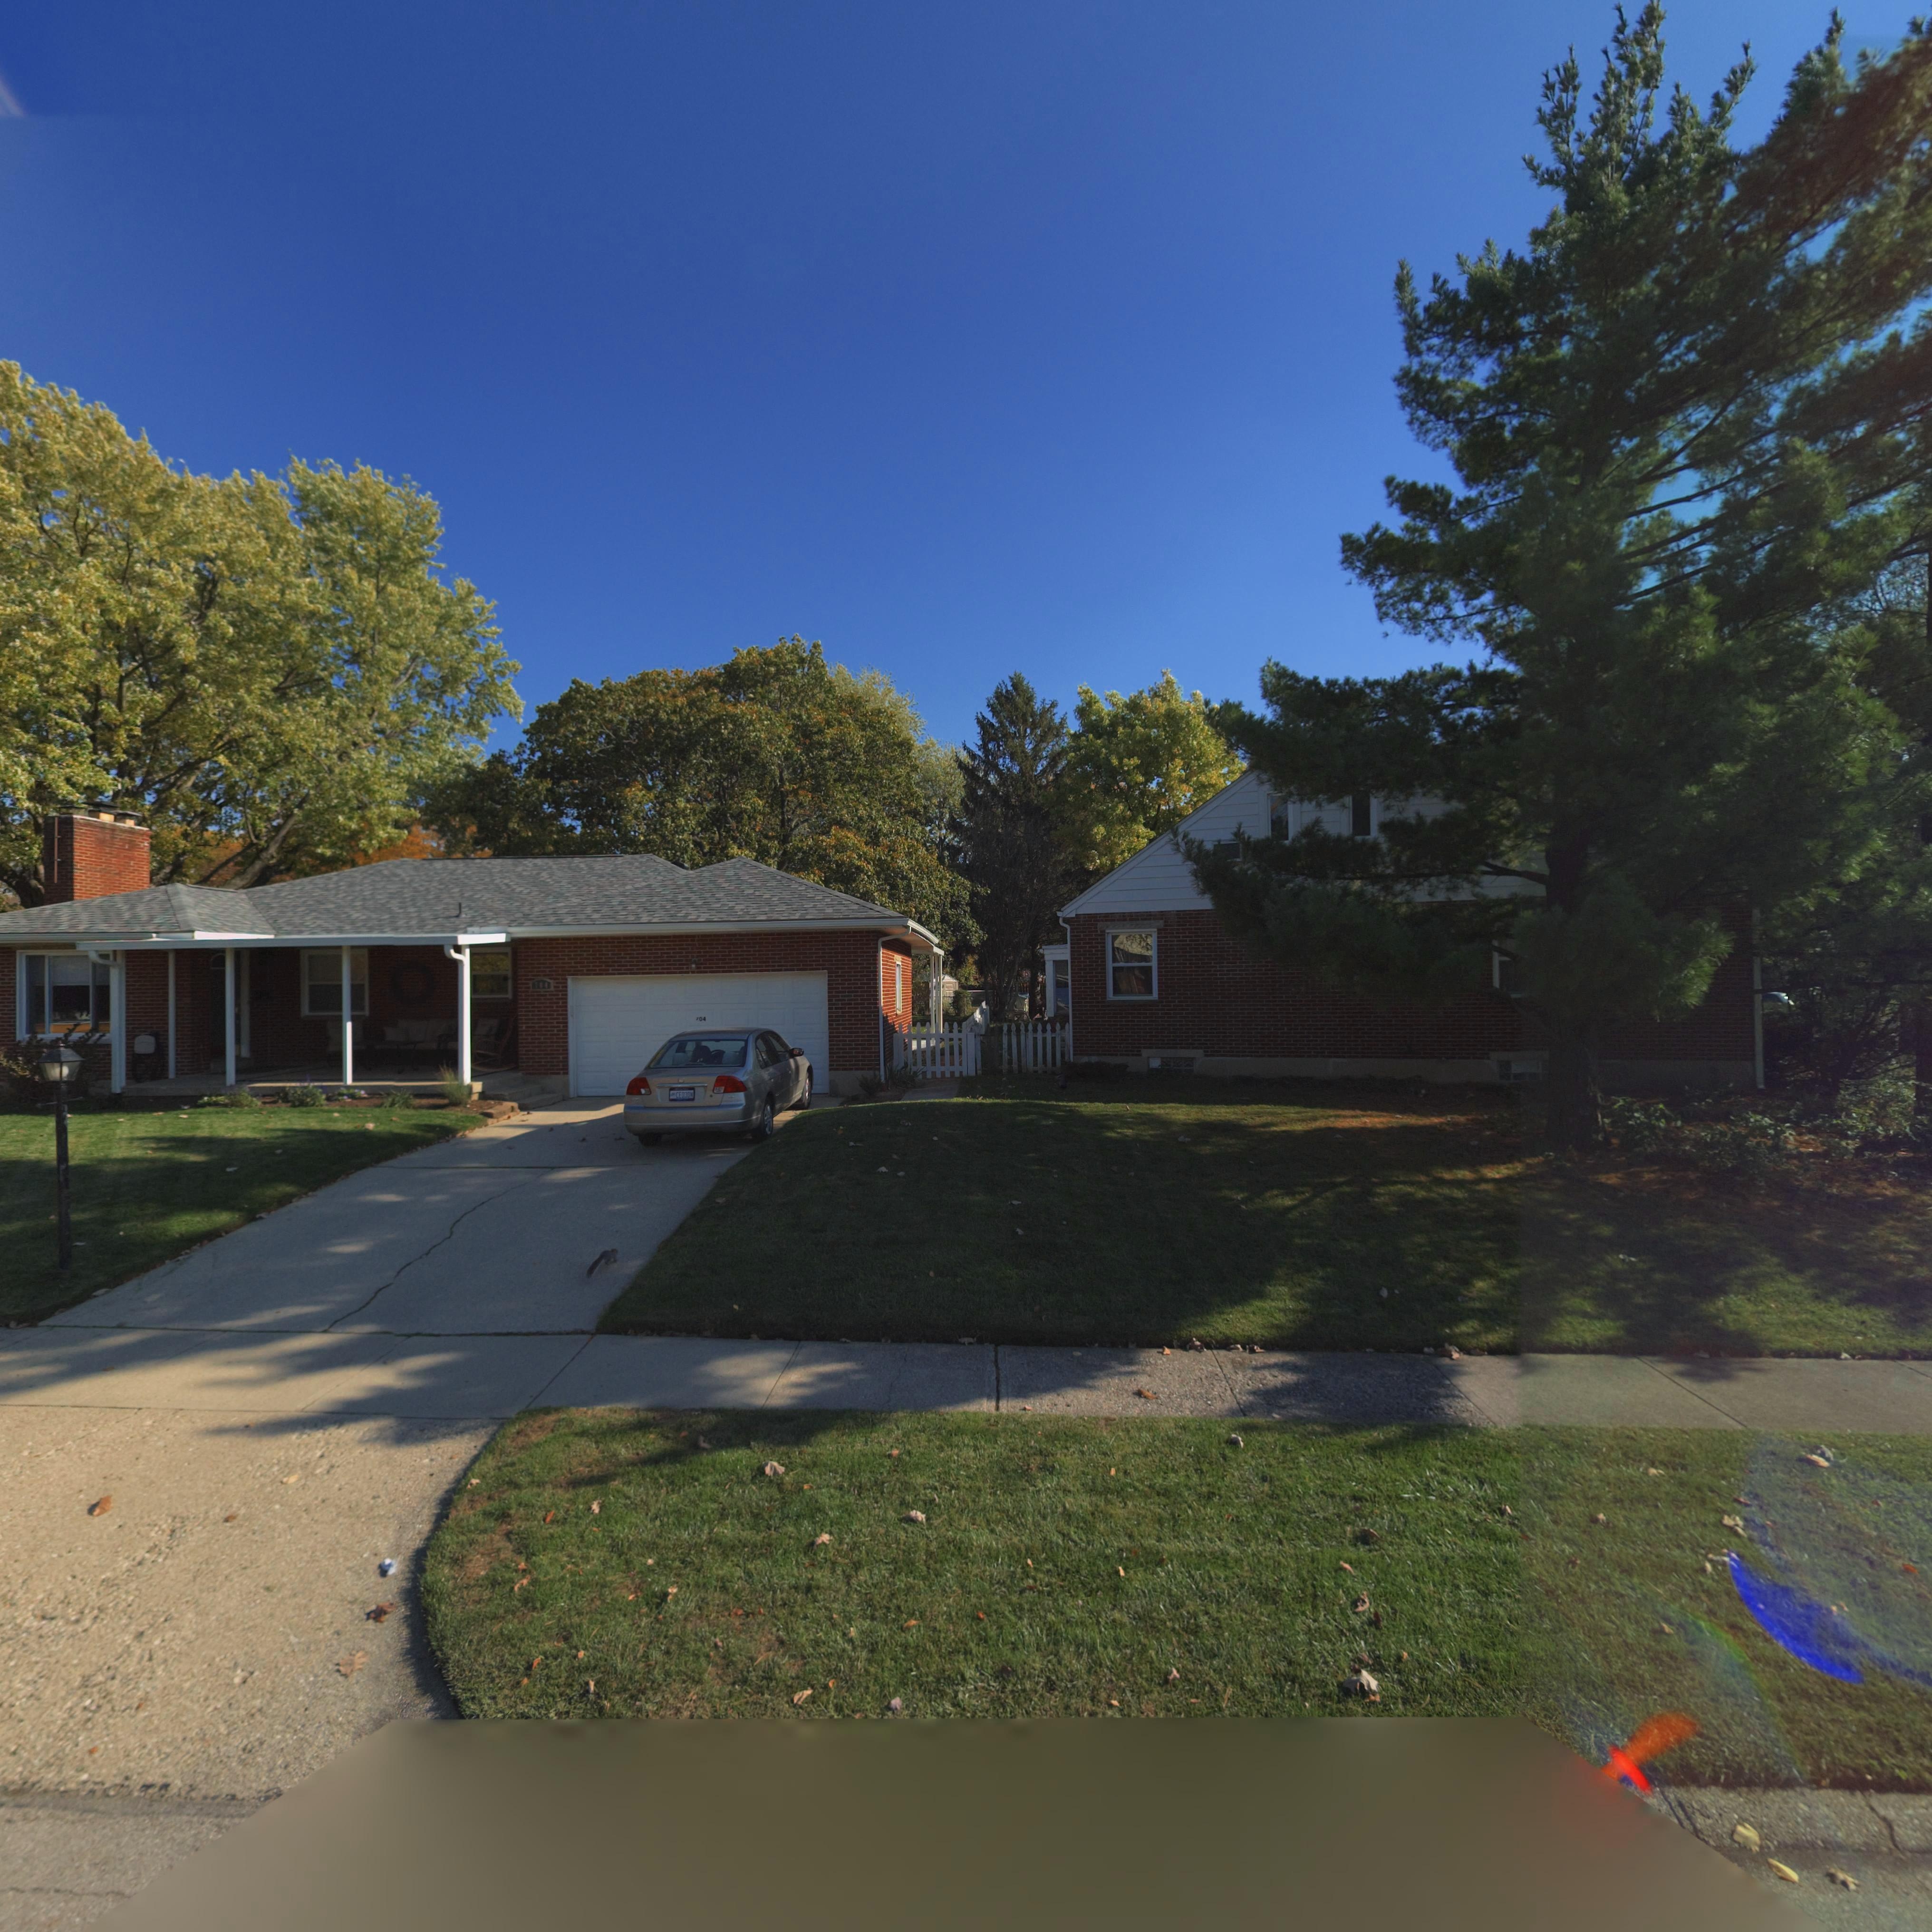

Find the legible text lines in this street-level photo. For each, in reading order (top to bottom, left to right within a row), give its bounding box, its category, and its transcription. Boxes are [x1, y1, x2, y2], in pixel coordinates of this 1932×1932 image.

[534, 982, 548, 989] StreetNumber: 704
[695, 1016, 706, 1022] StreetNumber: *04
[676, 1091, 694, 1099] None: CE03DN